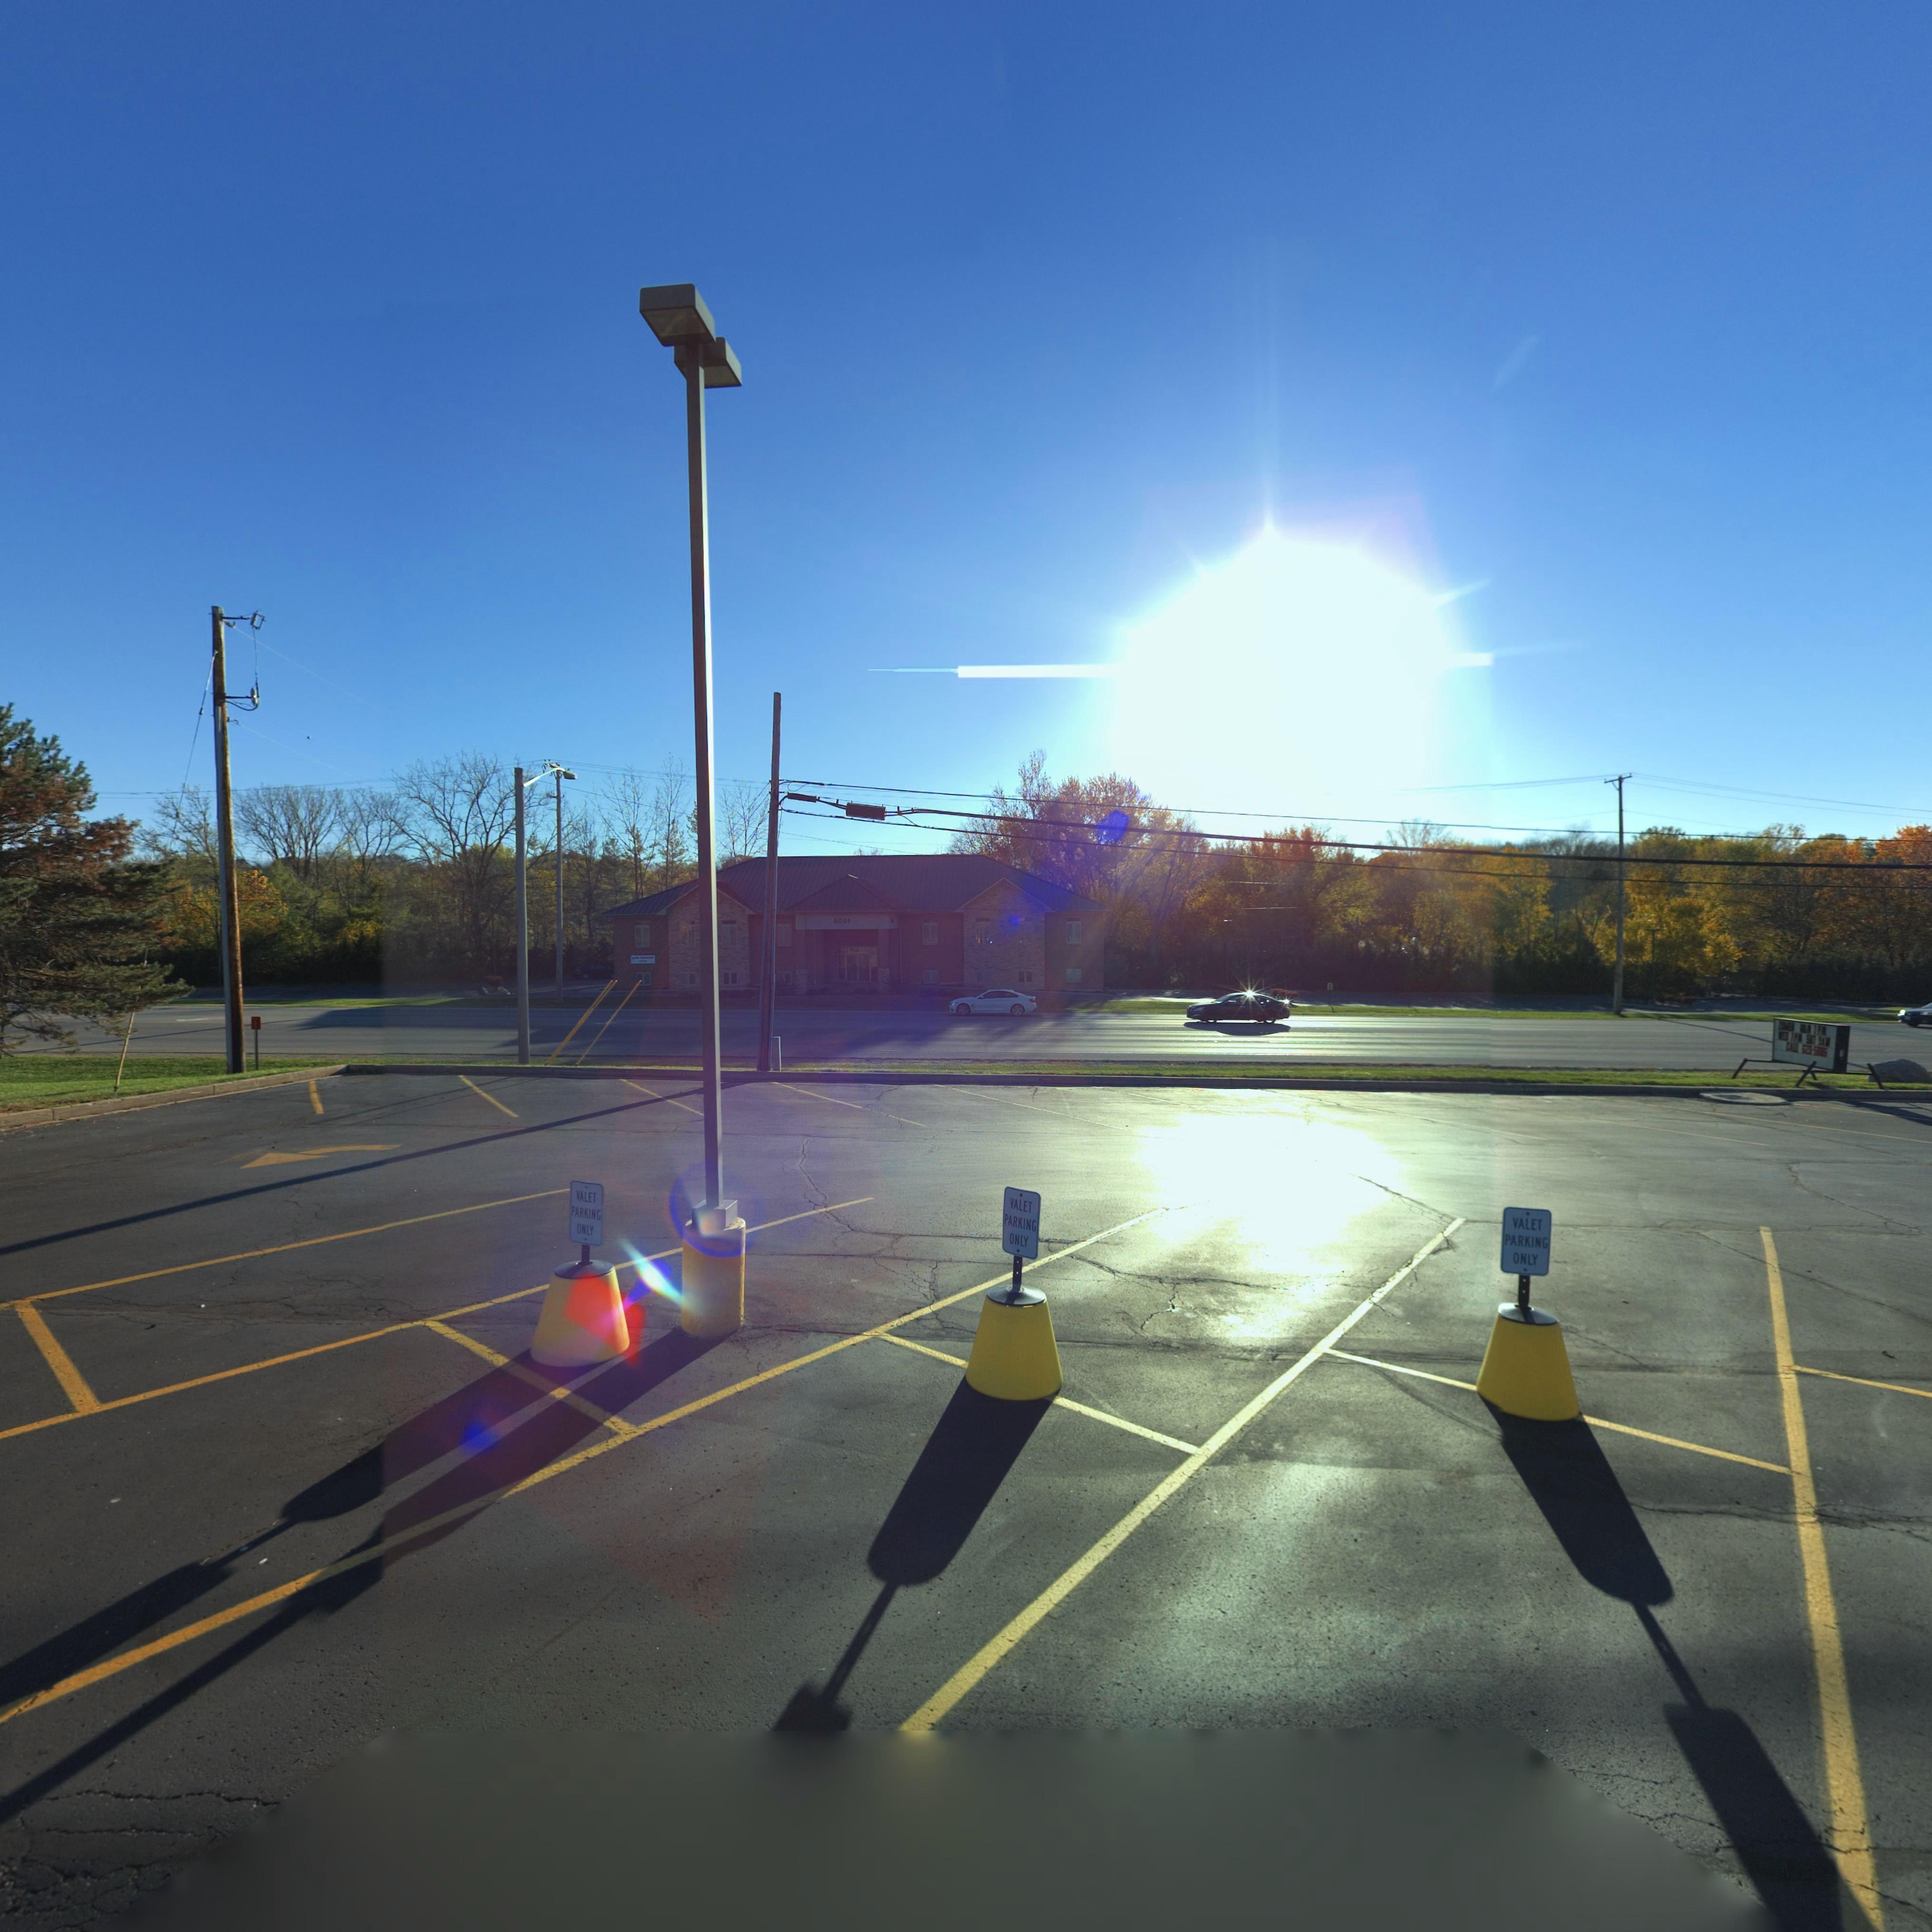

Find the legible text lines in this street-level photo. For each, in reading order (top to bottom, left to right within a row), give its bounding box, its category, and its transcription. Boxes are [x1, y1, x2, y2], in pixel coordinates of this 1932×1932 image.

[833, 918, 850, 924] StreetNumber: 9001